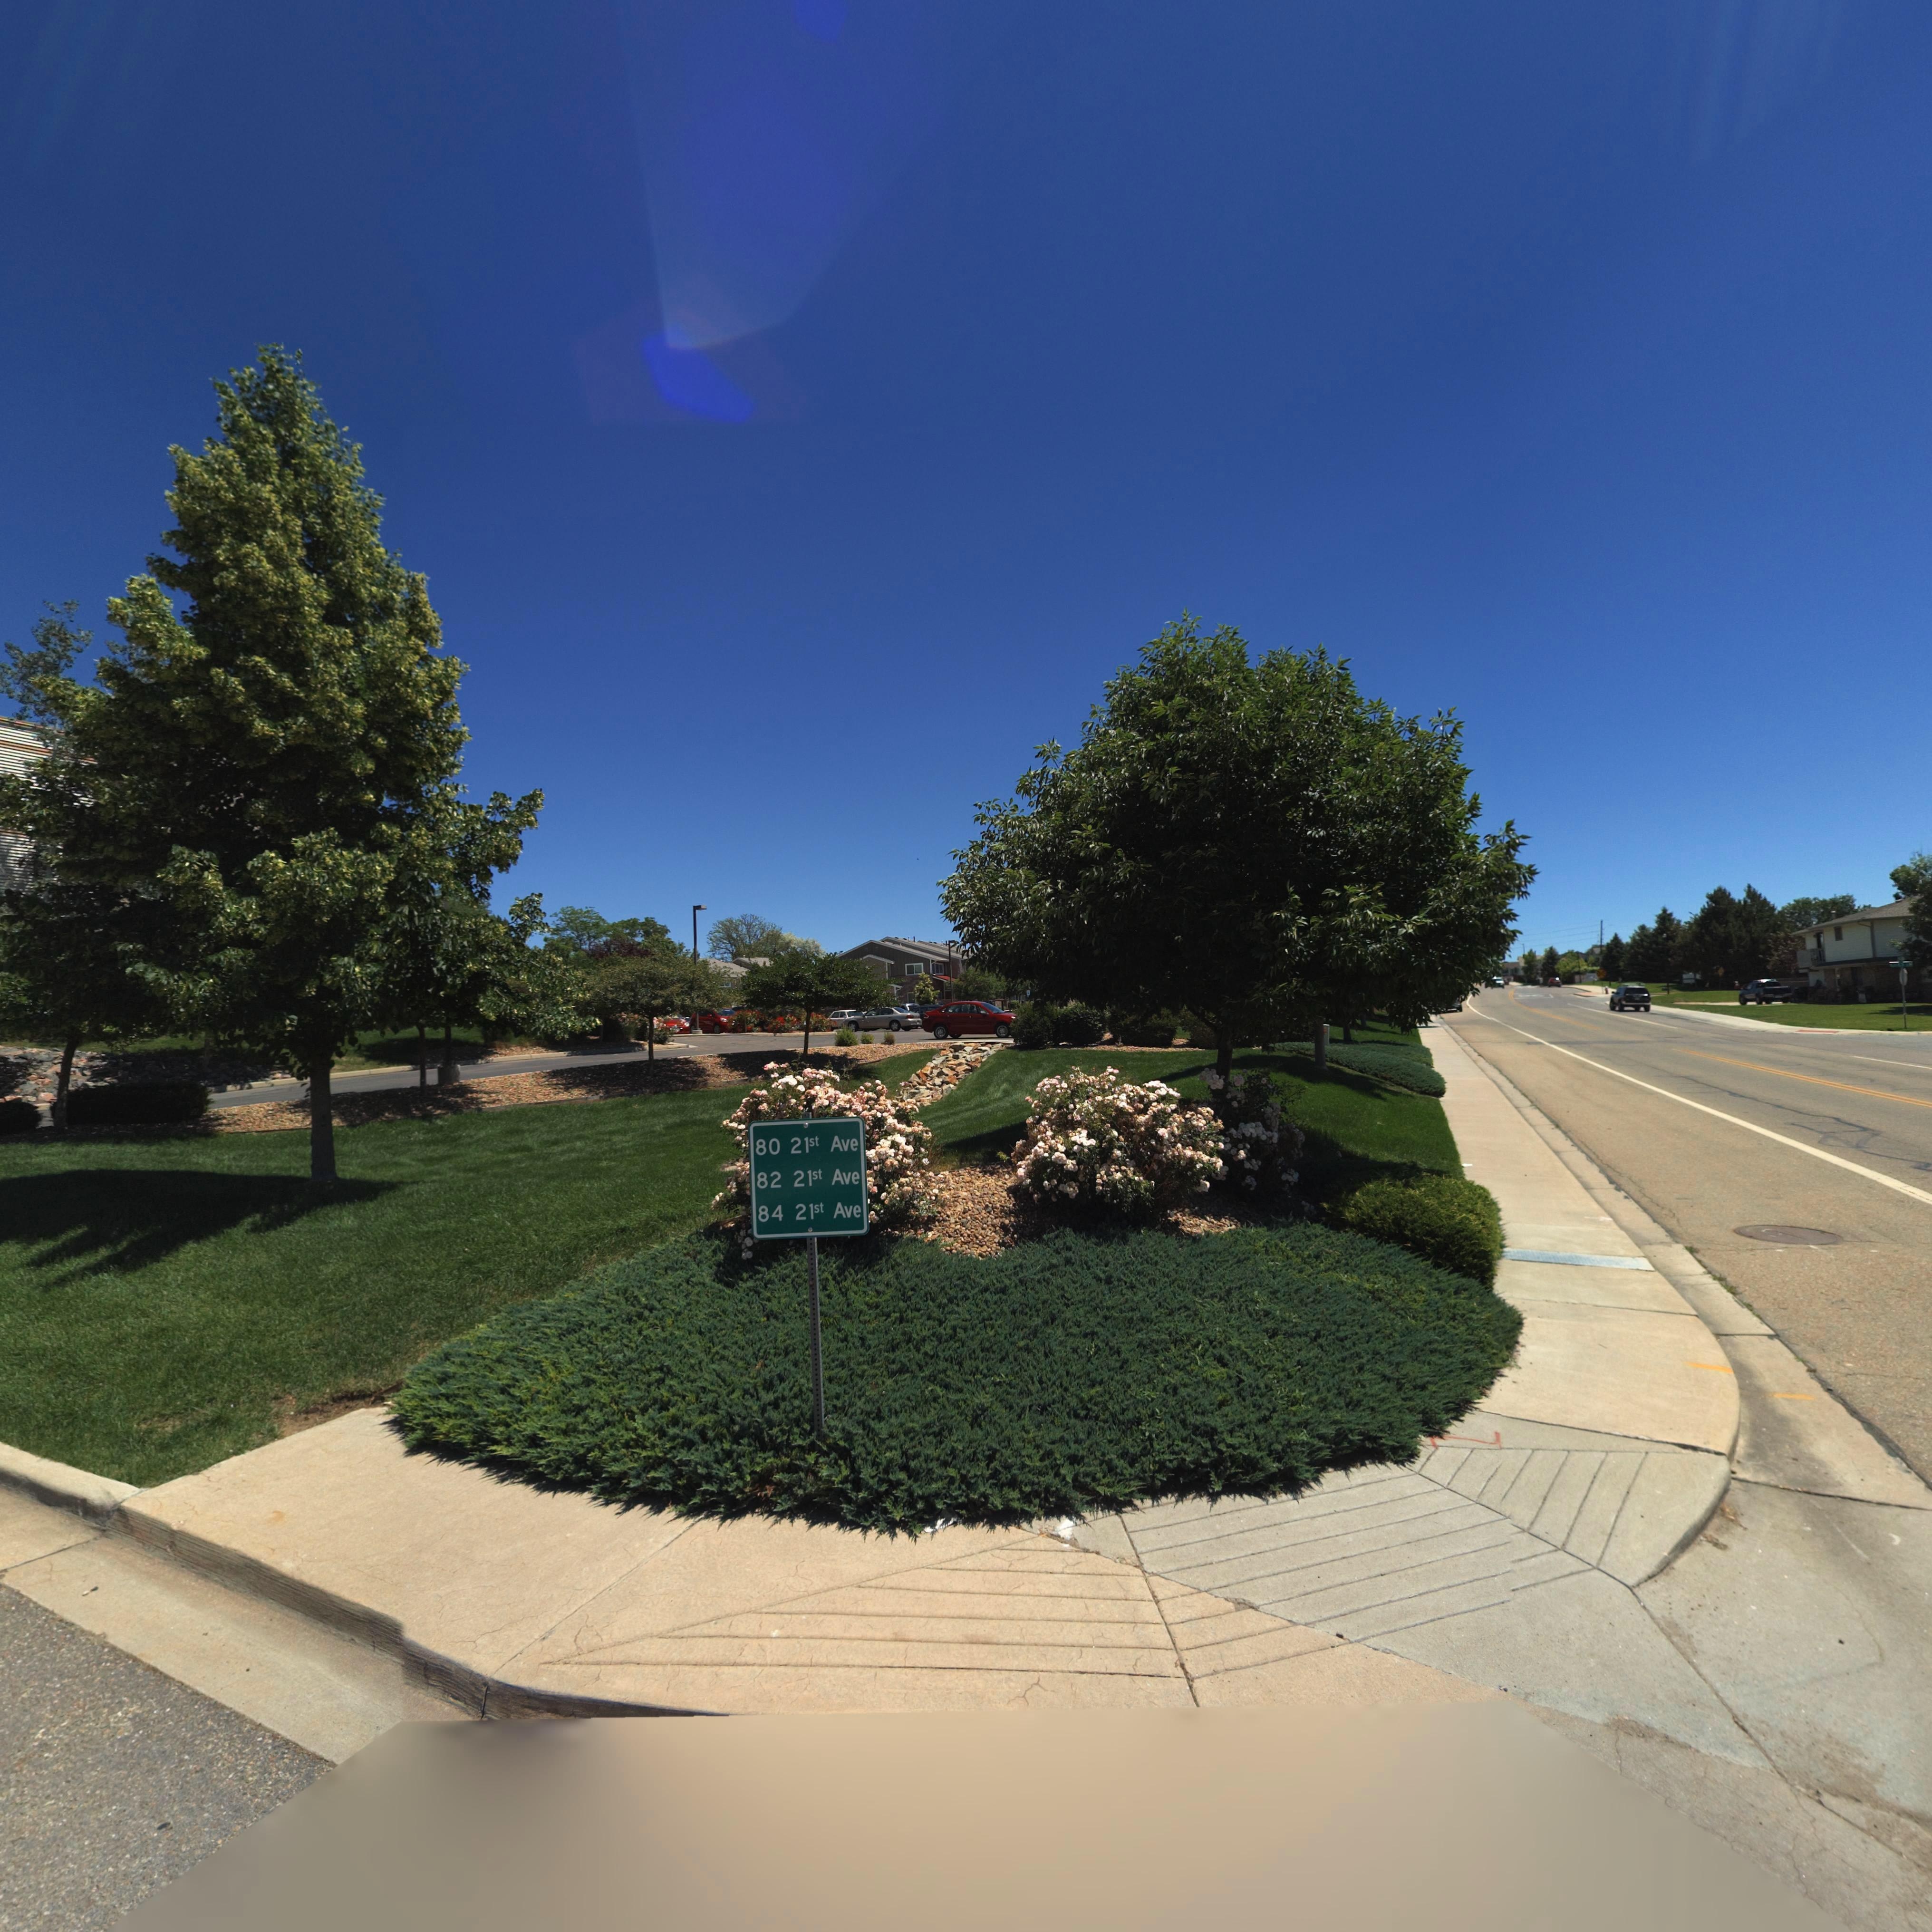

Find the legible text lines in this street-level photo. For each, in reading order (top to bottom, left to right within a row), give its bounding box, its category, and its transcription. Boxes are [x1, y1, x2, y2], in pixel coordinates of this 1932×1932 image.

[755, 1138, 780, 1156] StreetNumber: 80
[790, 1135, 859, 1154] StreetName: 12st Ave
[756, 1170, 782, 1189] StreetNumber: 82
[793, 1168, 860, 1187] StreetName: 21st Ave
[758, 1204, 783, 1222] StreetNumber: 84
[795, 1201, 861, 1220] StreetName: 21st Ave